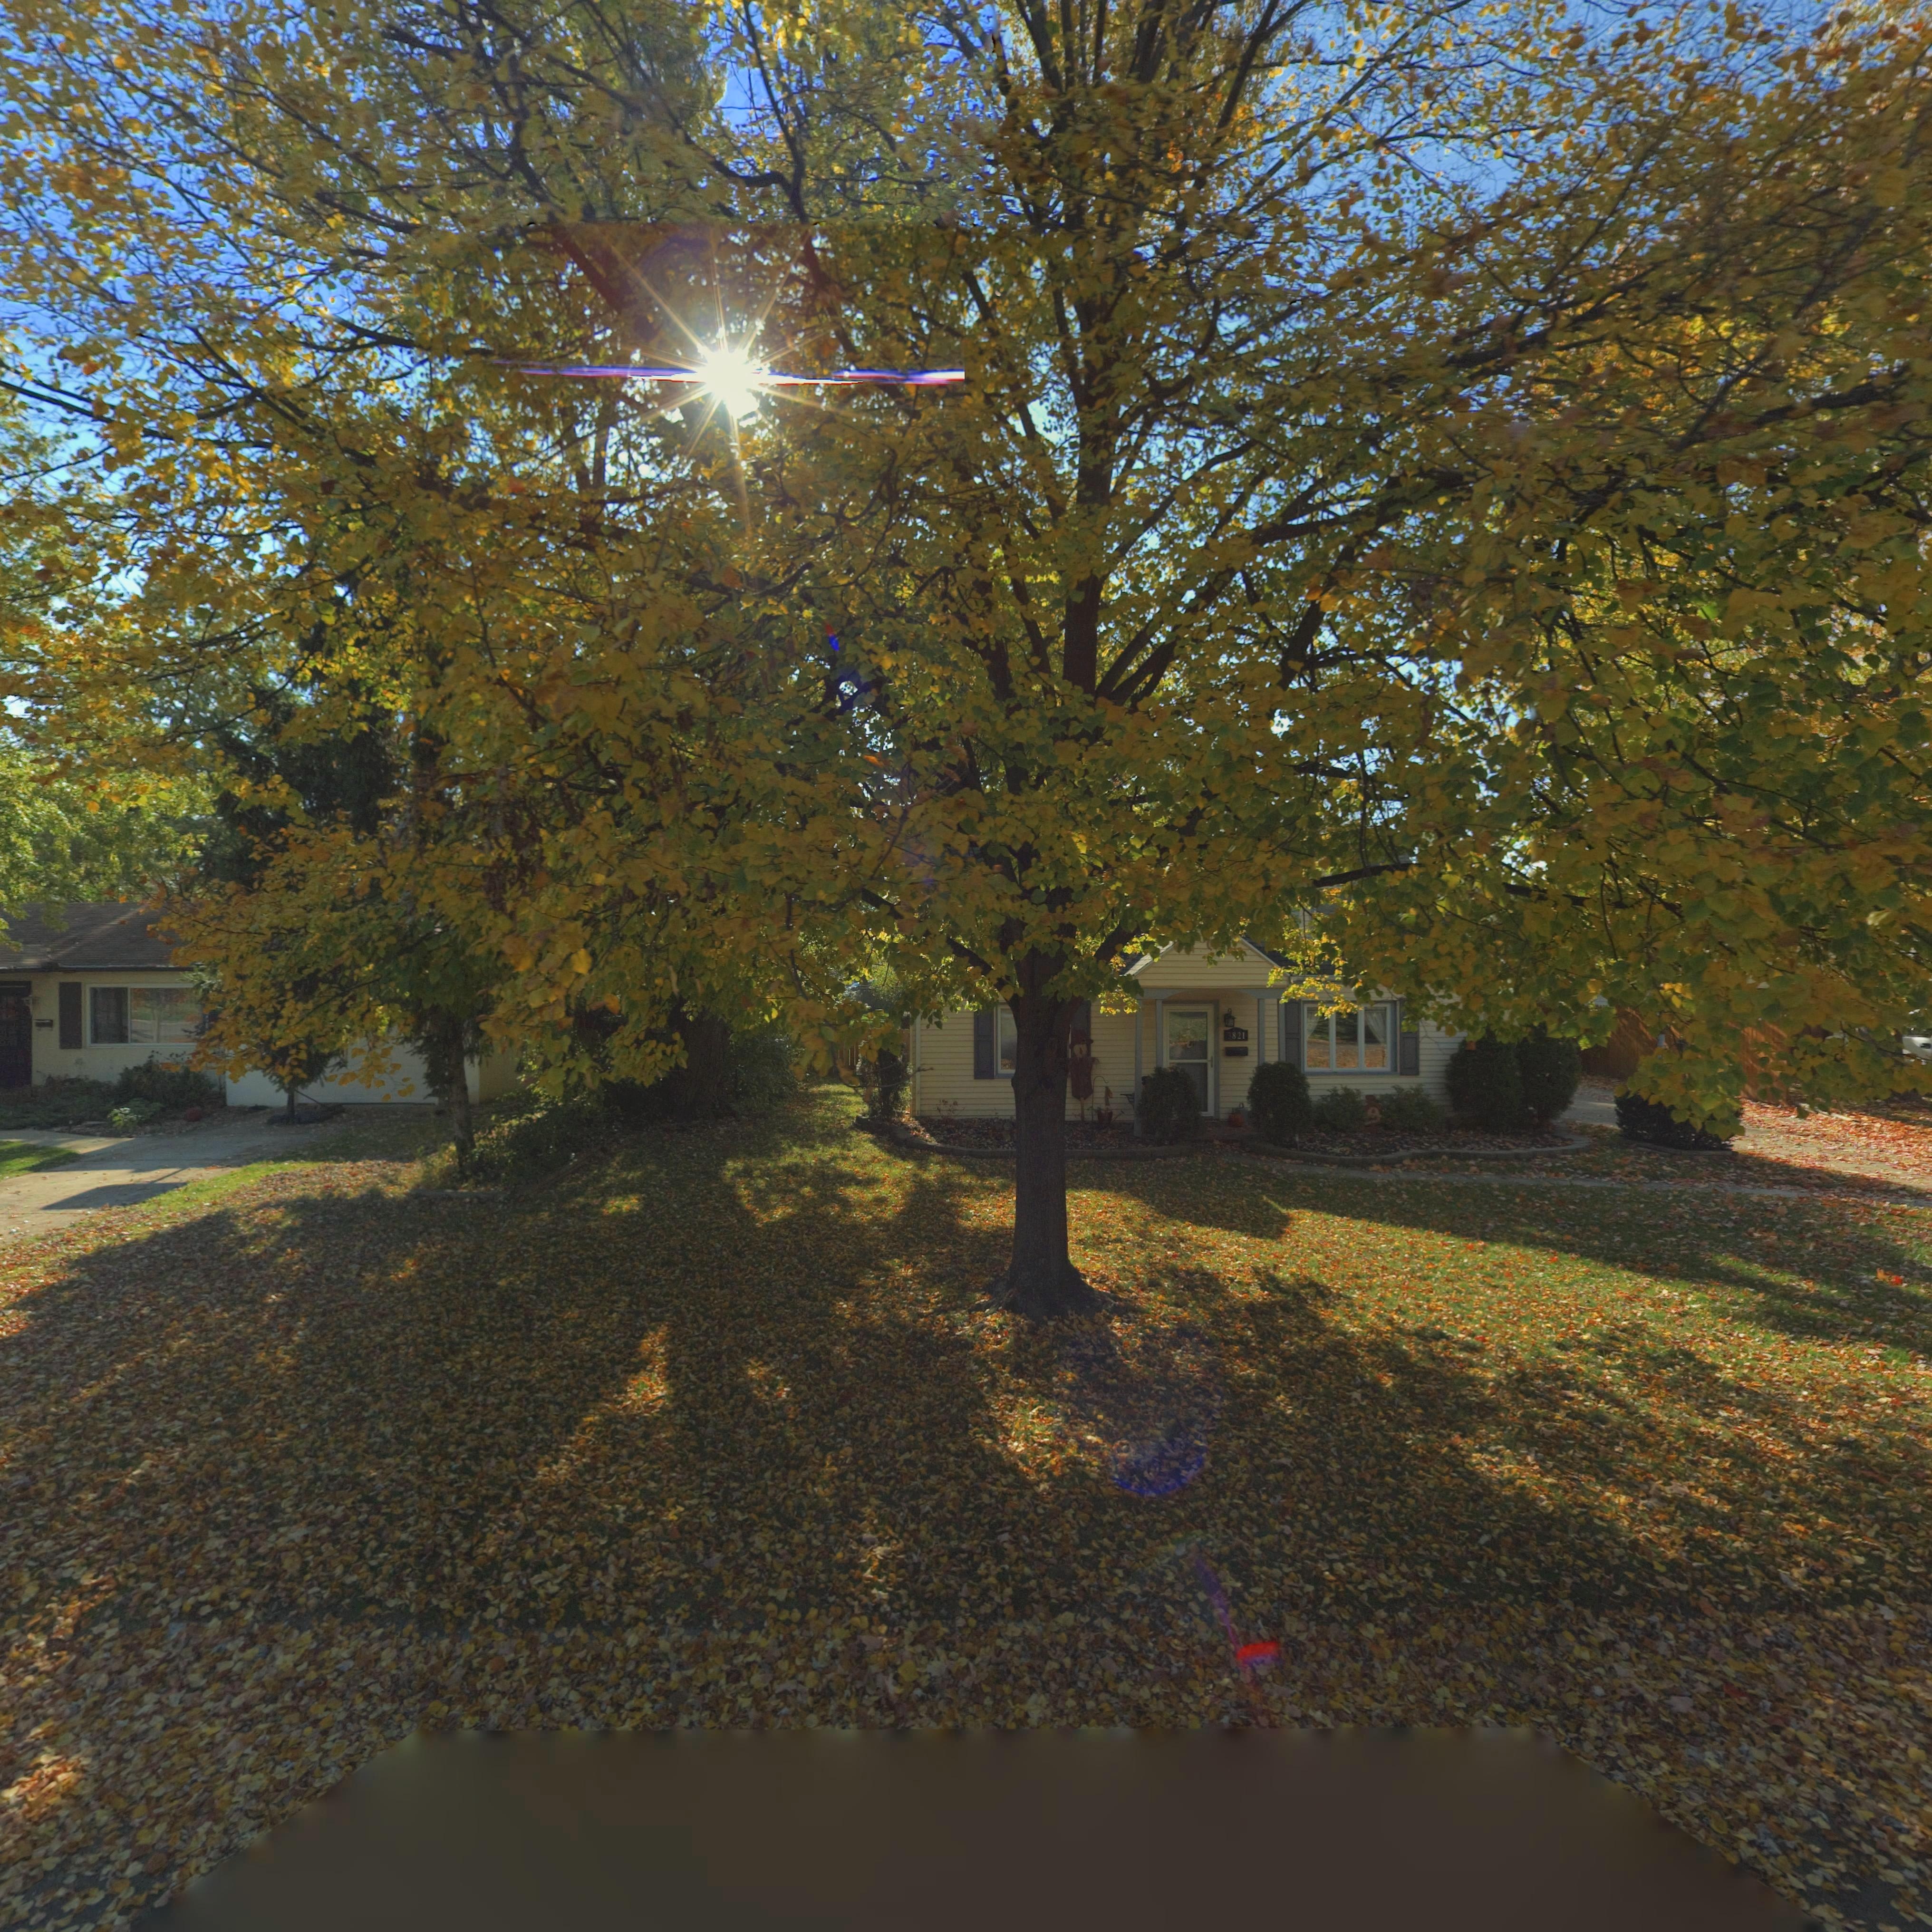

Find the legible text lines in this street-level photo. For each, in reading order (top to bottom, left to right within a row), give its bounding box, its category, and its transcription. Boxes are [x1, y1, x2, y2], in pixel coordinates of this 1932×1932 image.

[1227, 1031, 1246, 1040] StreetNumber: *821